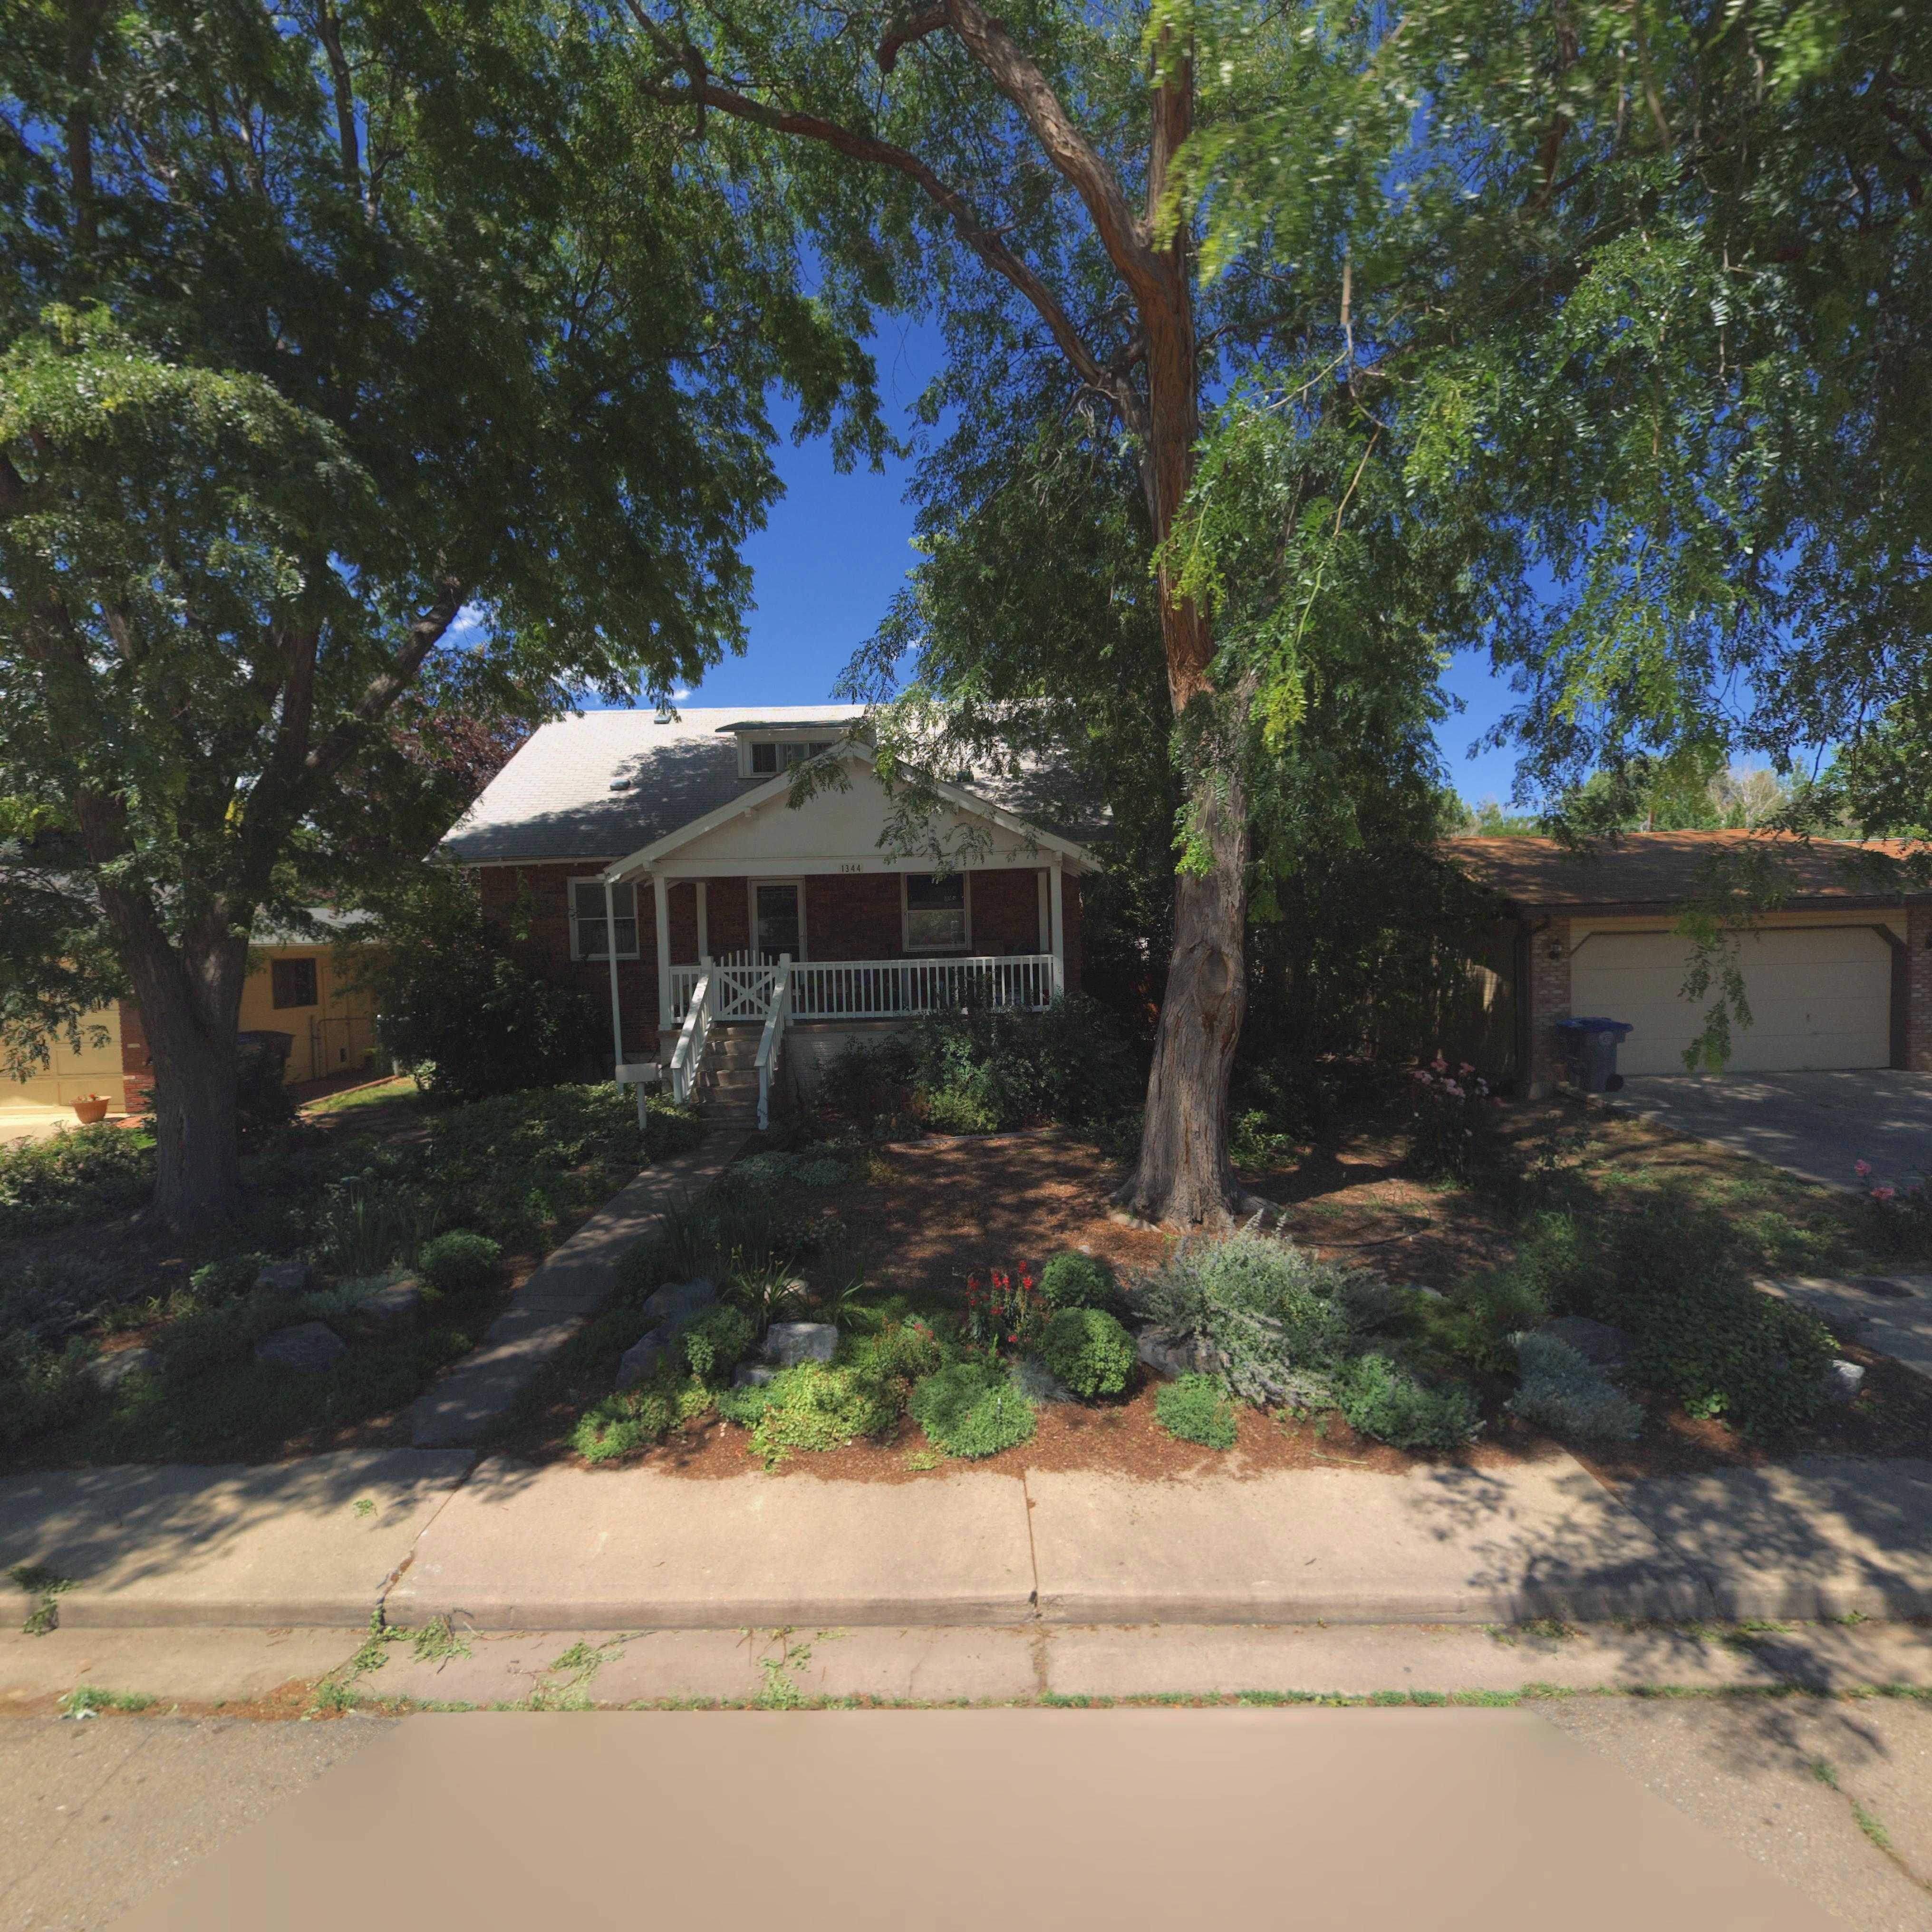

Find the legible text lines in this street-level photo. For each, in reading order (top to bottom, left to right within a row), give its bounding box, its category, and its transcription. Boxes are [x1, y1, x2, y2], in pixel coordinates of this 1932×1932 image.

[841, 864, 860, 872] StreetNumber: 1344